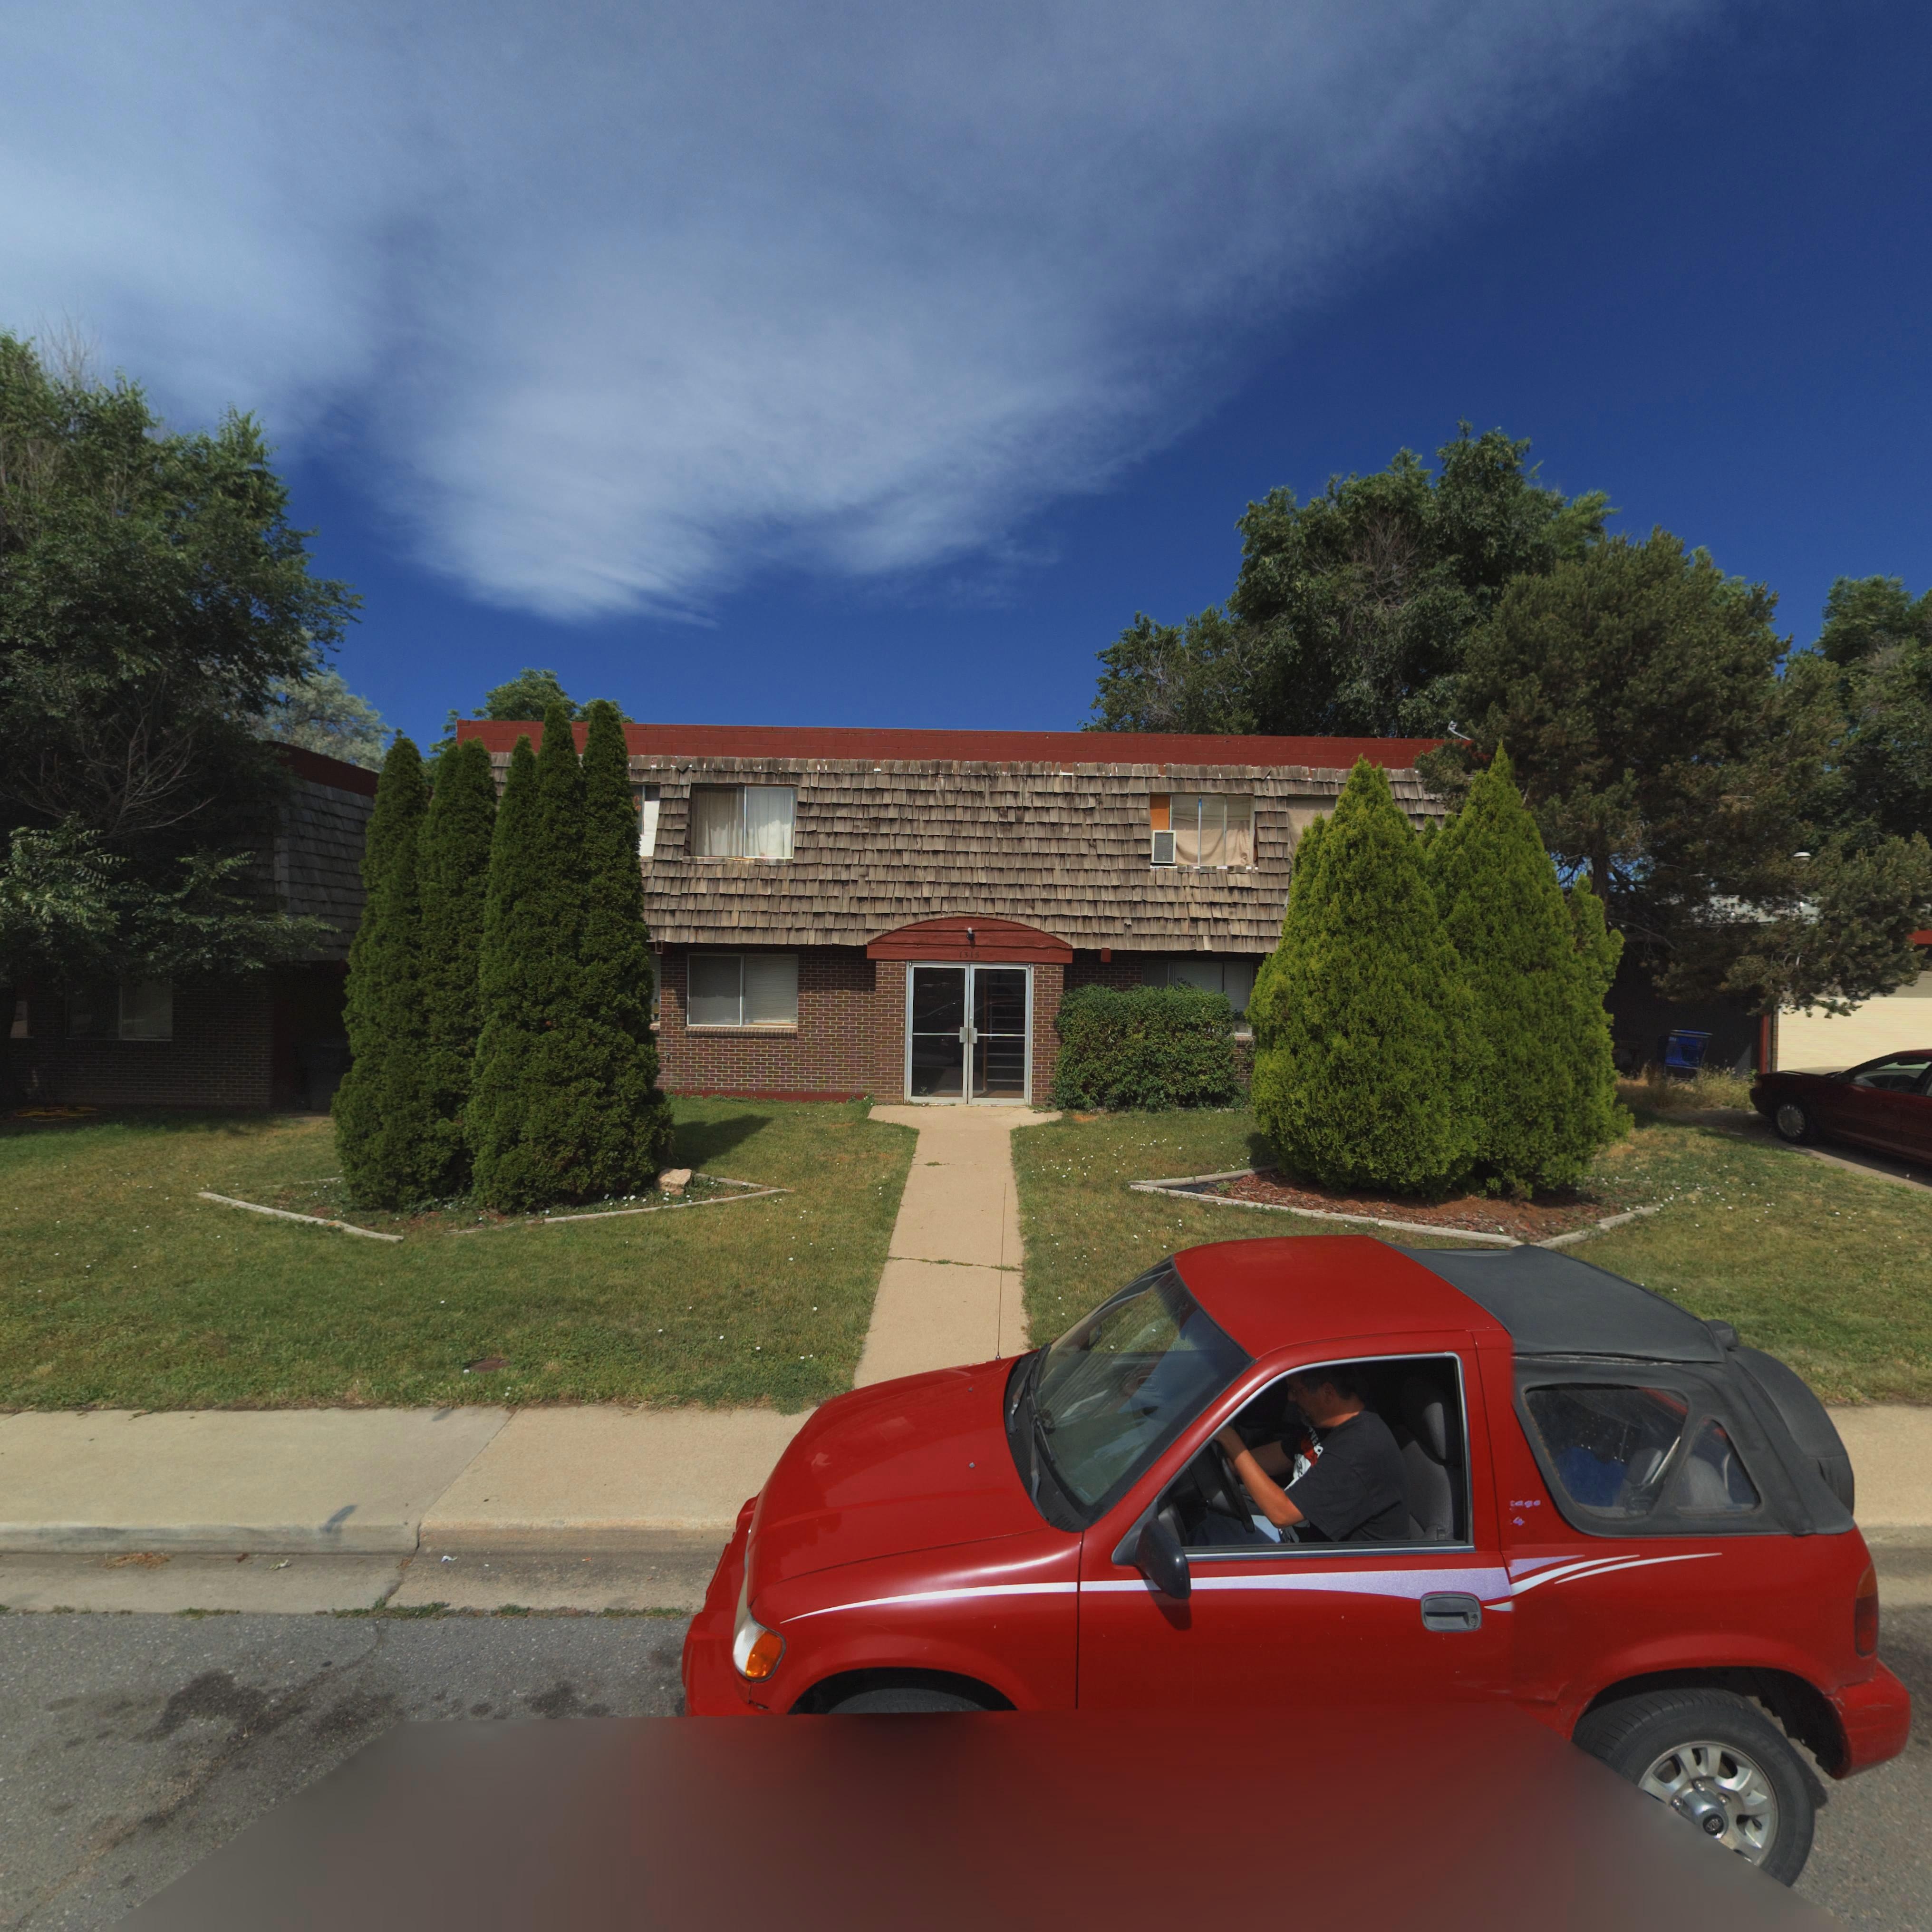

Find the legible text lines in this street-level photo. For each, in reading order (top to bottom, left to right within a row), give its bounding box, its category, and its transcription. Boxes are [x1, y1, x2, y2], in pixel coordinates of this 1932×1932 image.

[959, 951, 979, 958] StreetNumber: 1315